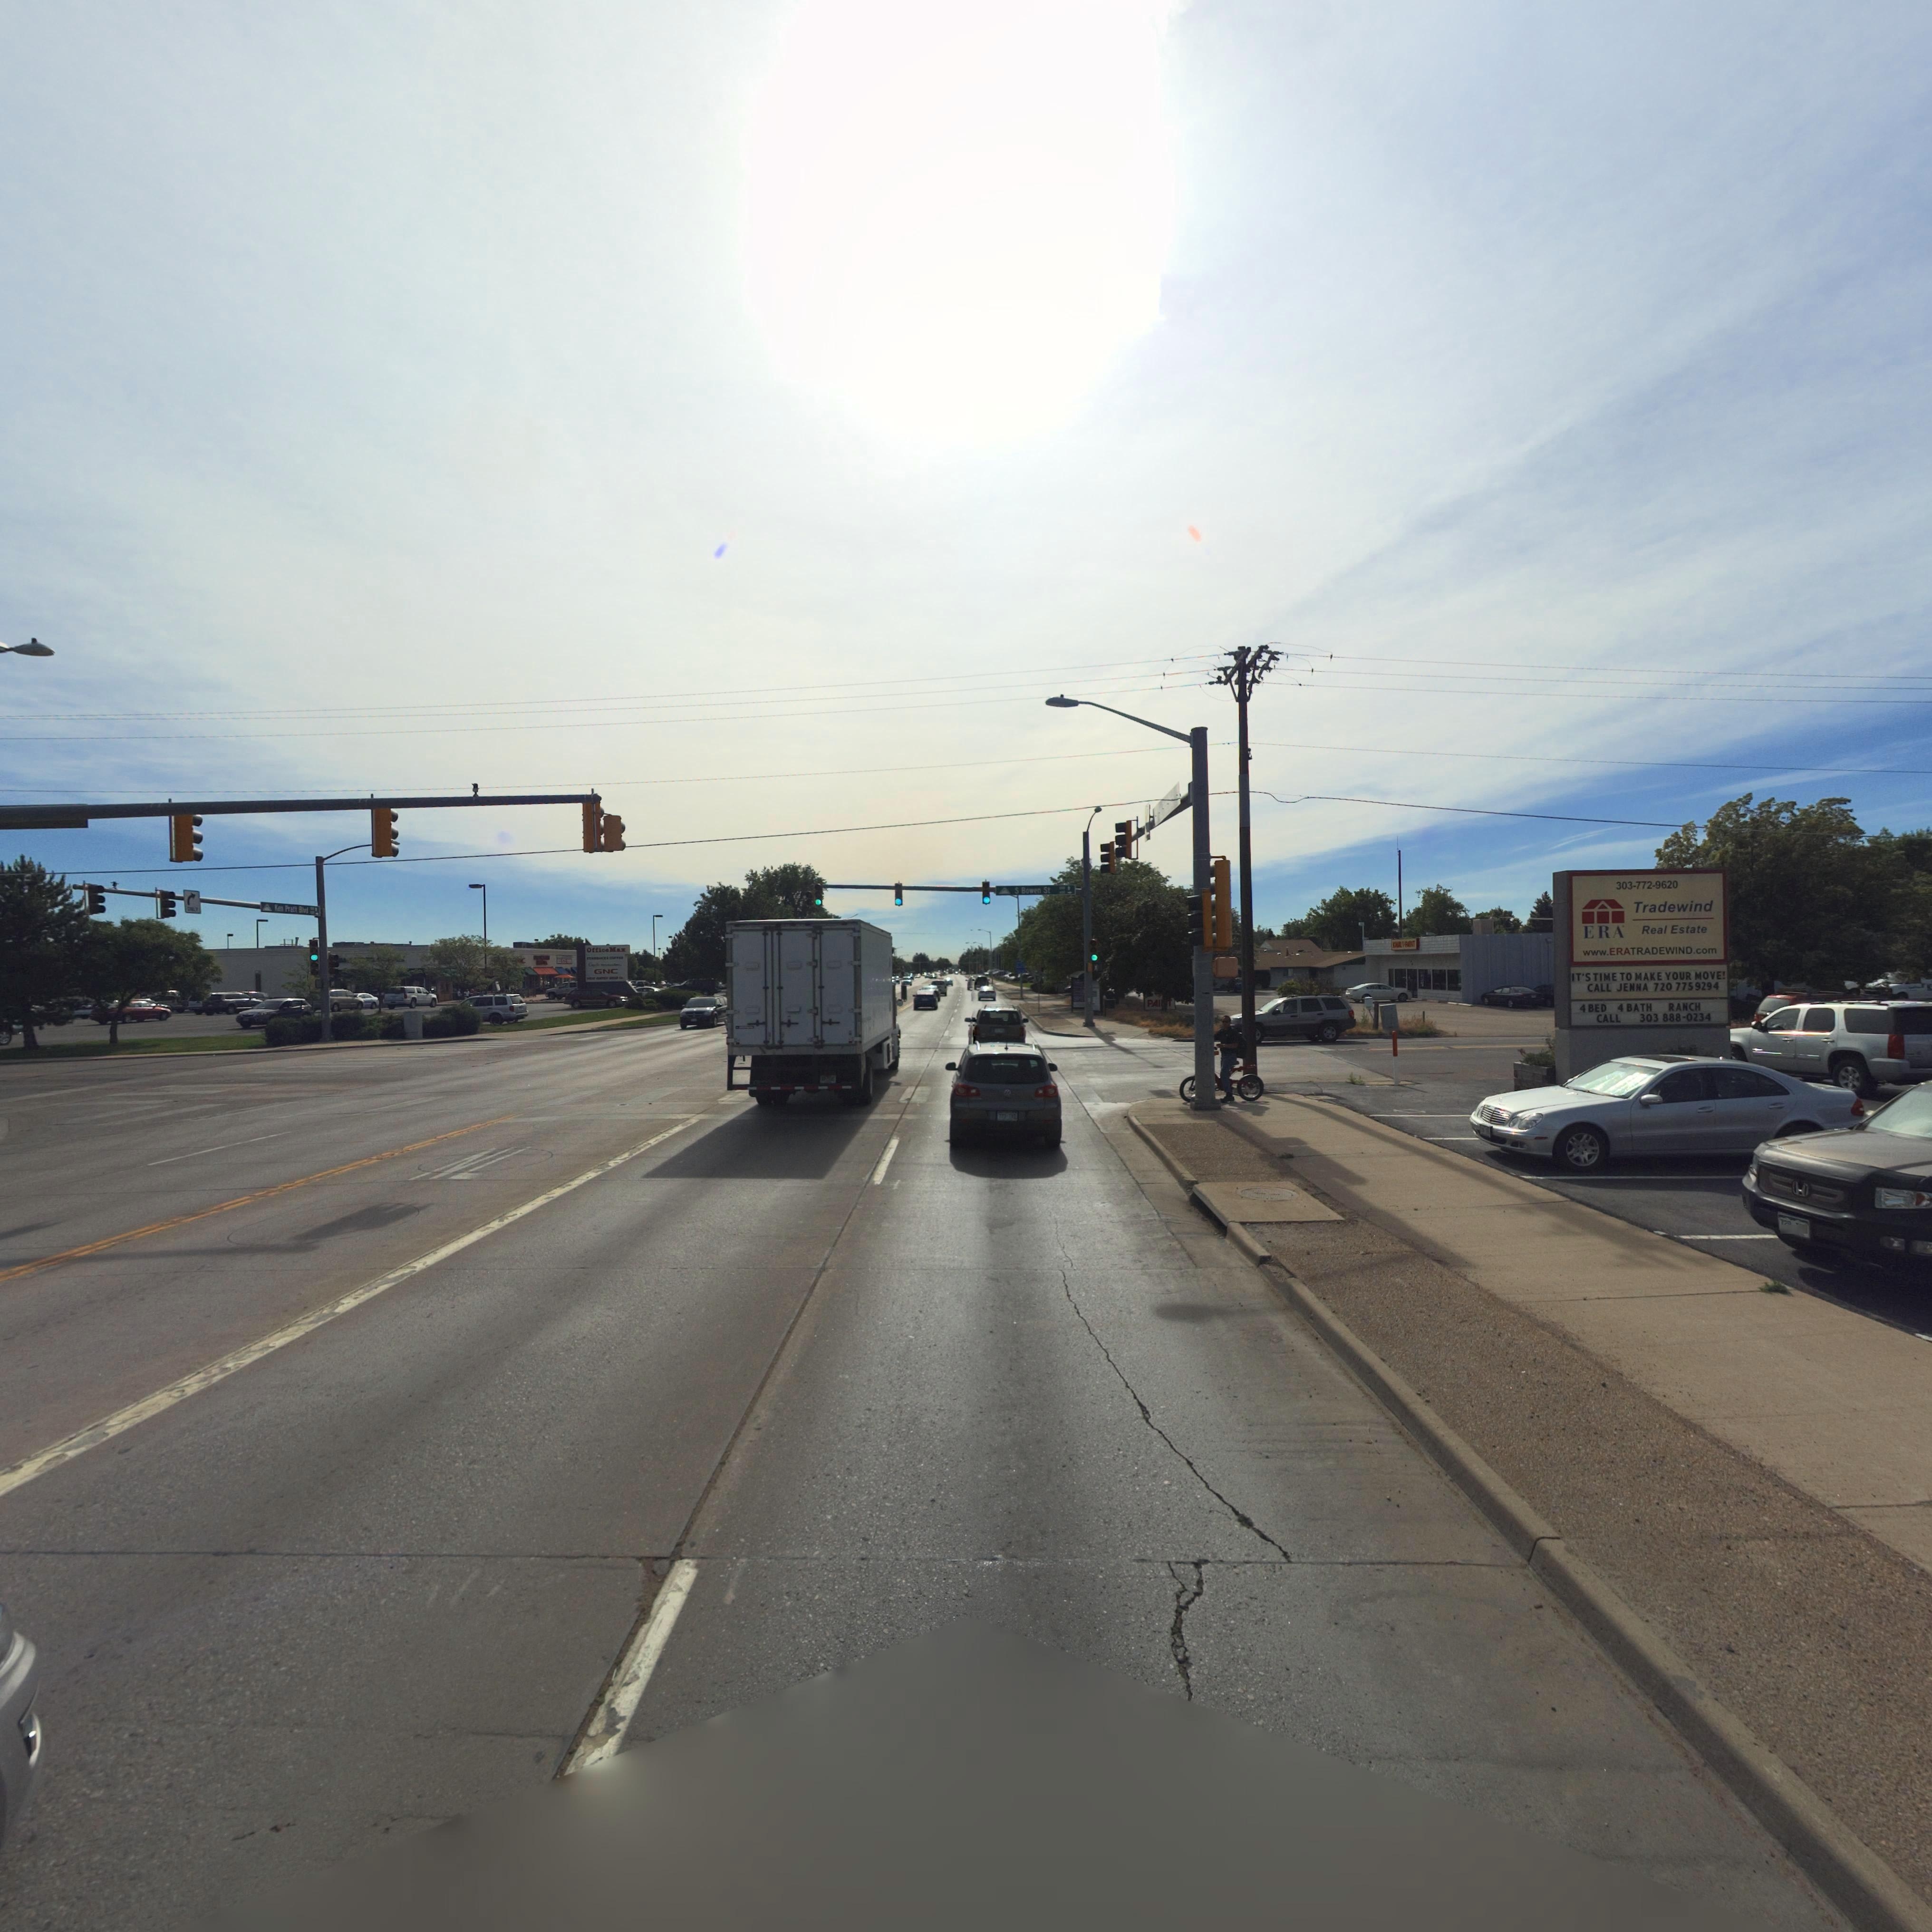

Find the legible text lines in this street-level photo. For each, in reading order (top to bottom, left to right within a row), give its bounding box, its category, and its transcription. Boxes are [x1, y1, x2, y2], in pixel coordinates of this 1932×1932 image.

[1014, 886, 1051, 894] StreetName: S Bowen St
[1059, 886, 1065, 889] StreetNumberRange: *00
[1059, 890, 1072, 894] StreetNumberRange: **00->
[274, 903, 308, 914] StreetName: K** Pratt B***
[1633, 898, 1713, 913] BusinessName: Tradewind
[1583, 924, 1624, 939] BusinessName: ERA
[1641, 924, 1707, 935] BusinessName: Real Estate
[1392, 940, 1415, 948] BusinessName: K**L P***T
[586, 946, 626, 953] BusinessName: OfficeMax
[586, 956, 623, 960] BusinessName: ST******S CO****
[587, 961, 600, 968] BusinessName: C*******
[593, 968, 618, 974] BusinessName: GNC
[1147, 998, 1172, 1007] BusinessName: PAI*T